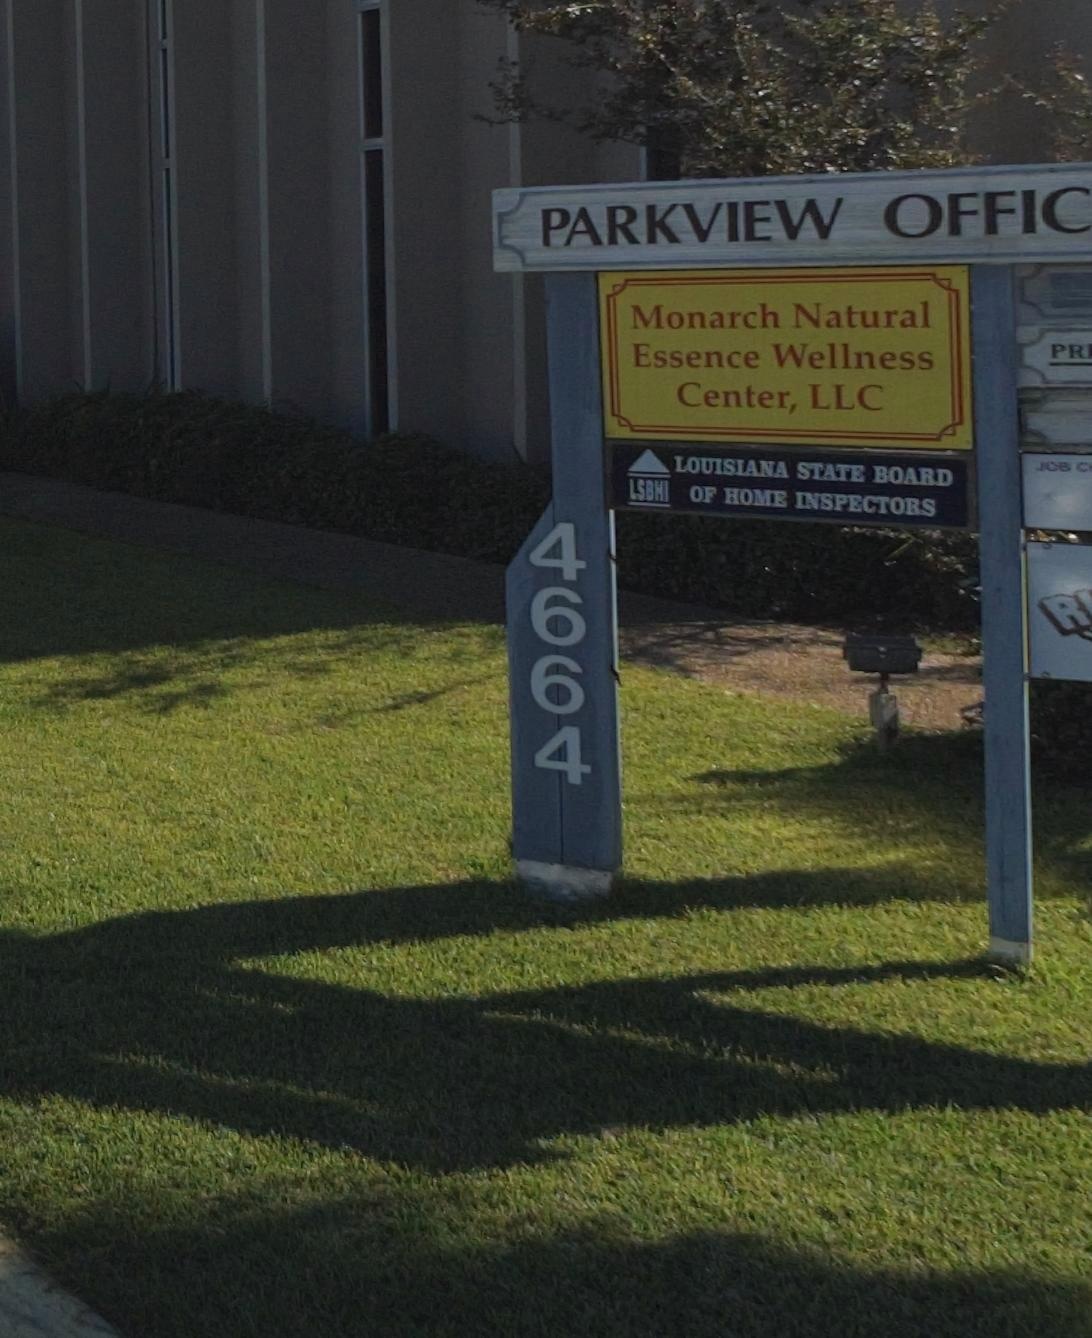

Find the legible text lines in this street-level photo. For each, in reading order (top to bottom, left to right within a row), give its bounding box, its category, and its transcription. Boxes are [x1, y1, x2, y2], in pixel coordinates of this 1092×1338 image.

[537, 183, 1092, 251] BusinessName: PARKVIEW OFFIC
[627, 297, 935, 334] BusinessName: Monarch Natural
[630, 340, 938, 373] BusinessName: Essence Wellness
[1047, 340, 1089, 363] BusinessName: PR
[675, 379, 888, 417] BusinessName: Center, LLC
[671, 451, 956, 489] BusinessName: LOUISIANA STATE BOARD
[1030, 458, 1074, 475] None: JOB
[627, 476, 671, 504] None: LSBHI
[686, 482, 941, 521] BusinessName: OF HOME INSPECTORS
[1038, 594, 1091, 633] BusinessName: R
[525, 519, 595, 788] StreetNumber: 4664